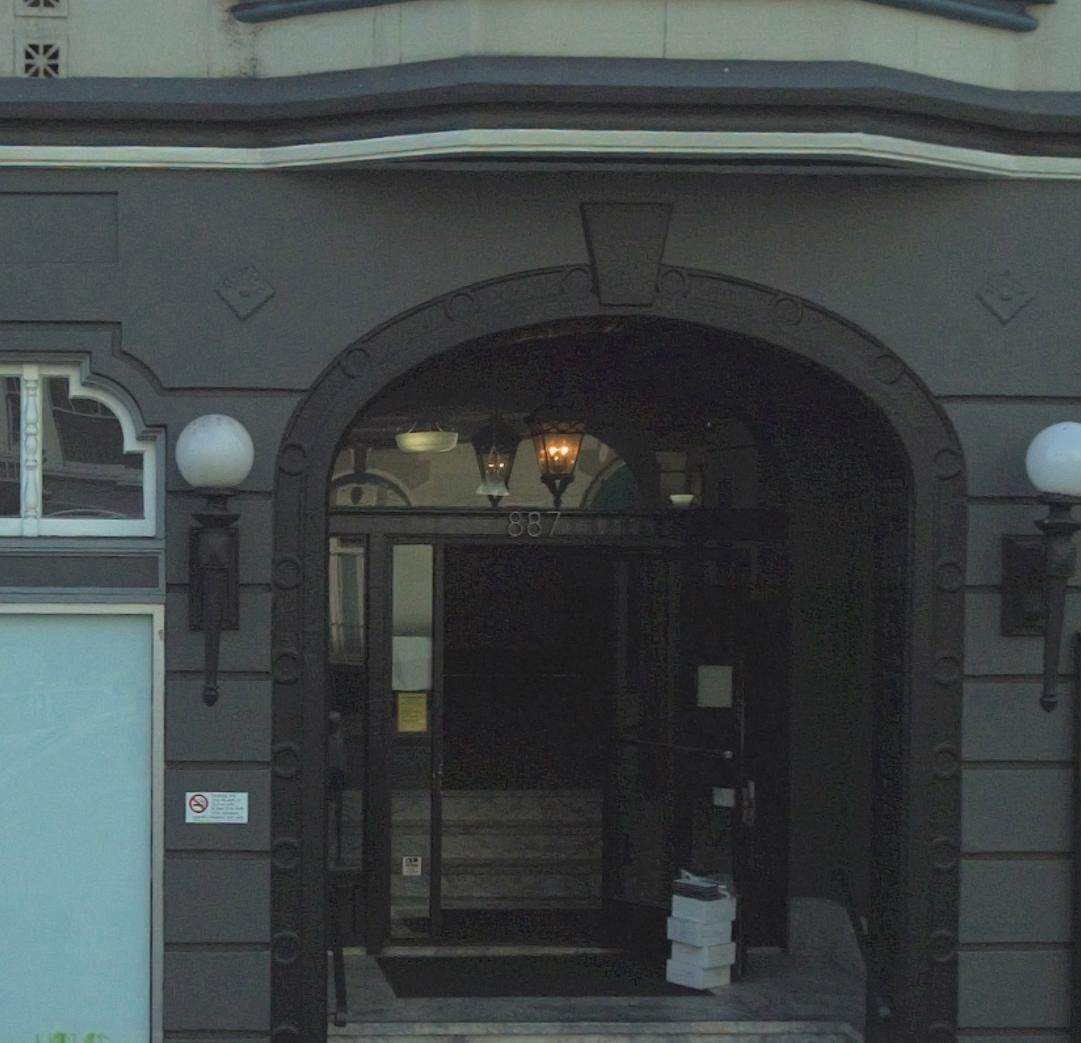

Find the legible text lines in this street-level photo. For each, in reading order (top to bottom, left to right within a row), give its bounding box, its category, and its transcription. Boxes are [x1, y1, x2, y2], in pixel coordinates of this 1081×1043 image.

[502, 507, 566, 541] StreetNumber: 887